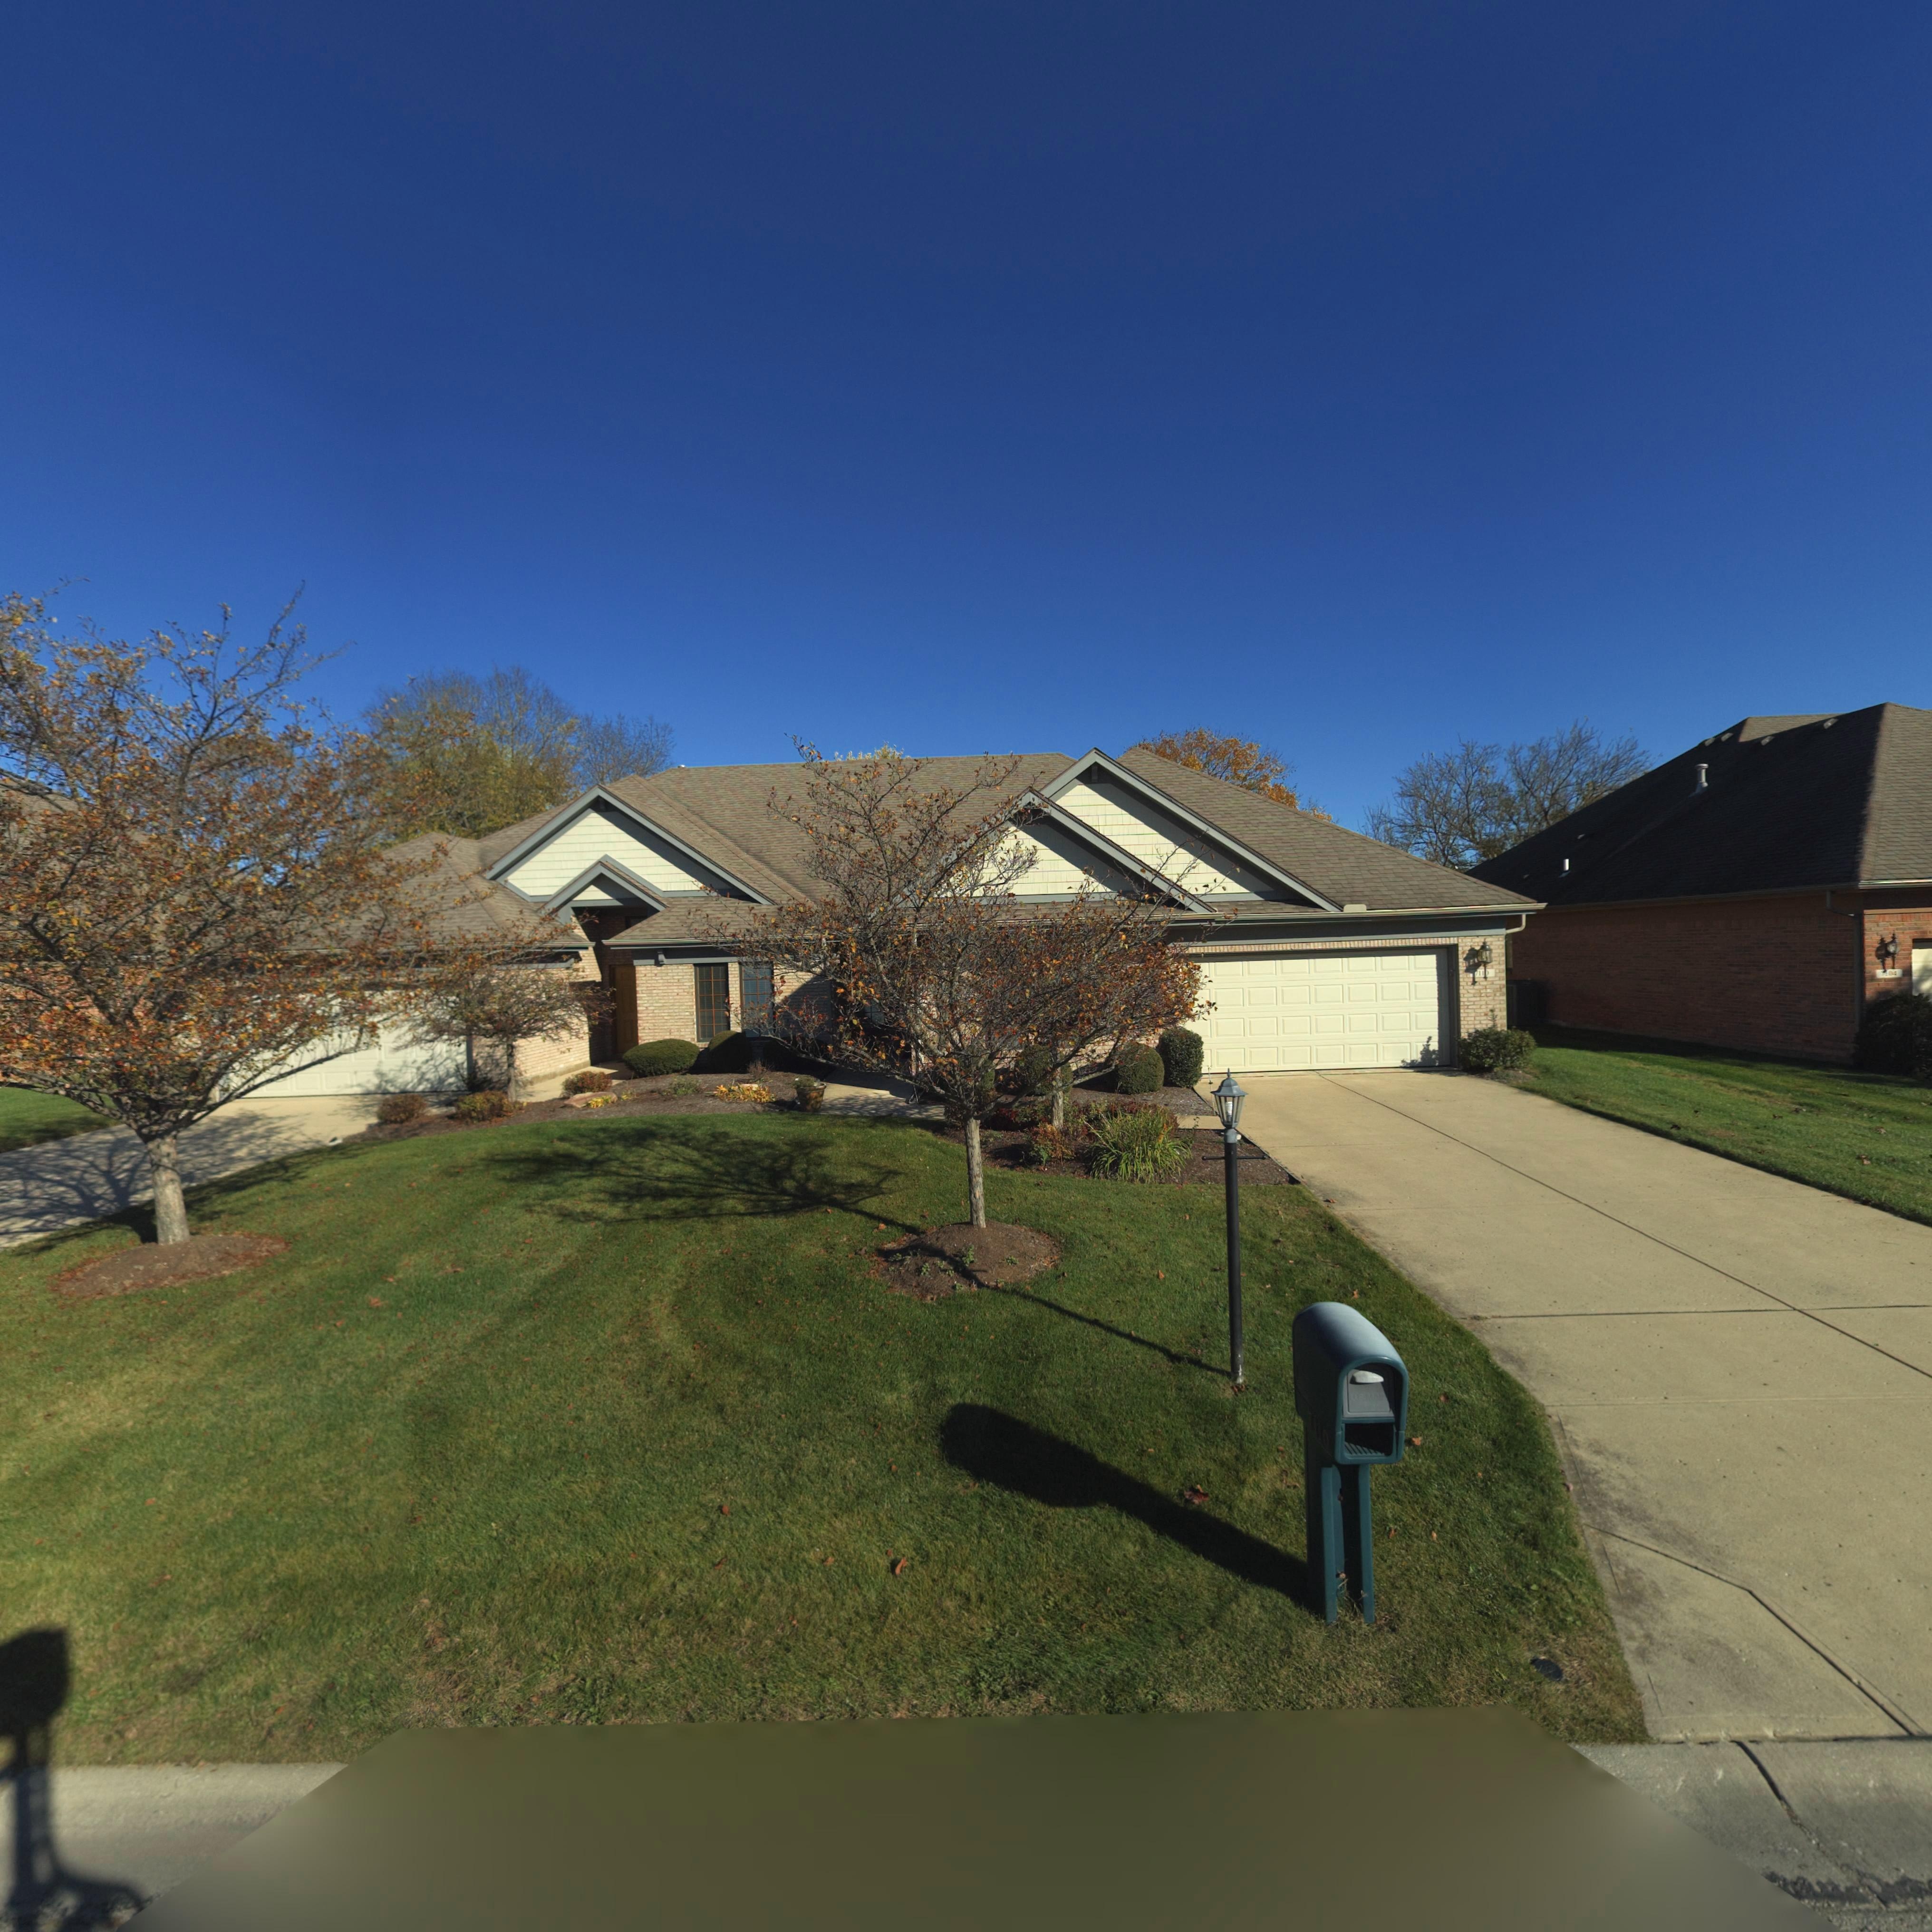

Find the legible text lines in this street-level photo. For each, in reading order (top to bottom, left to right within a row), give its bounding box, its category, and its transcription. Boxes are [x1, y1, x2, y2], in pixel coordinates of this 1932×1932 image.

[1474, 970, 1489, 976] StreetNumber: 7110
[1880, 970, 1897, 976] StreetNumber: *104